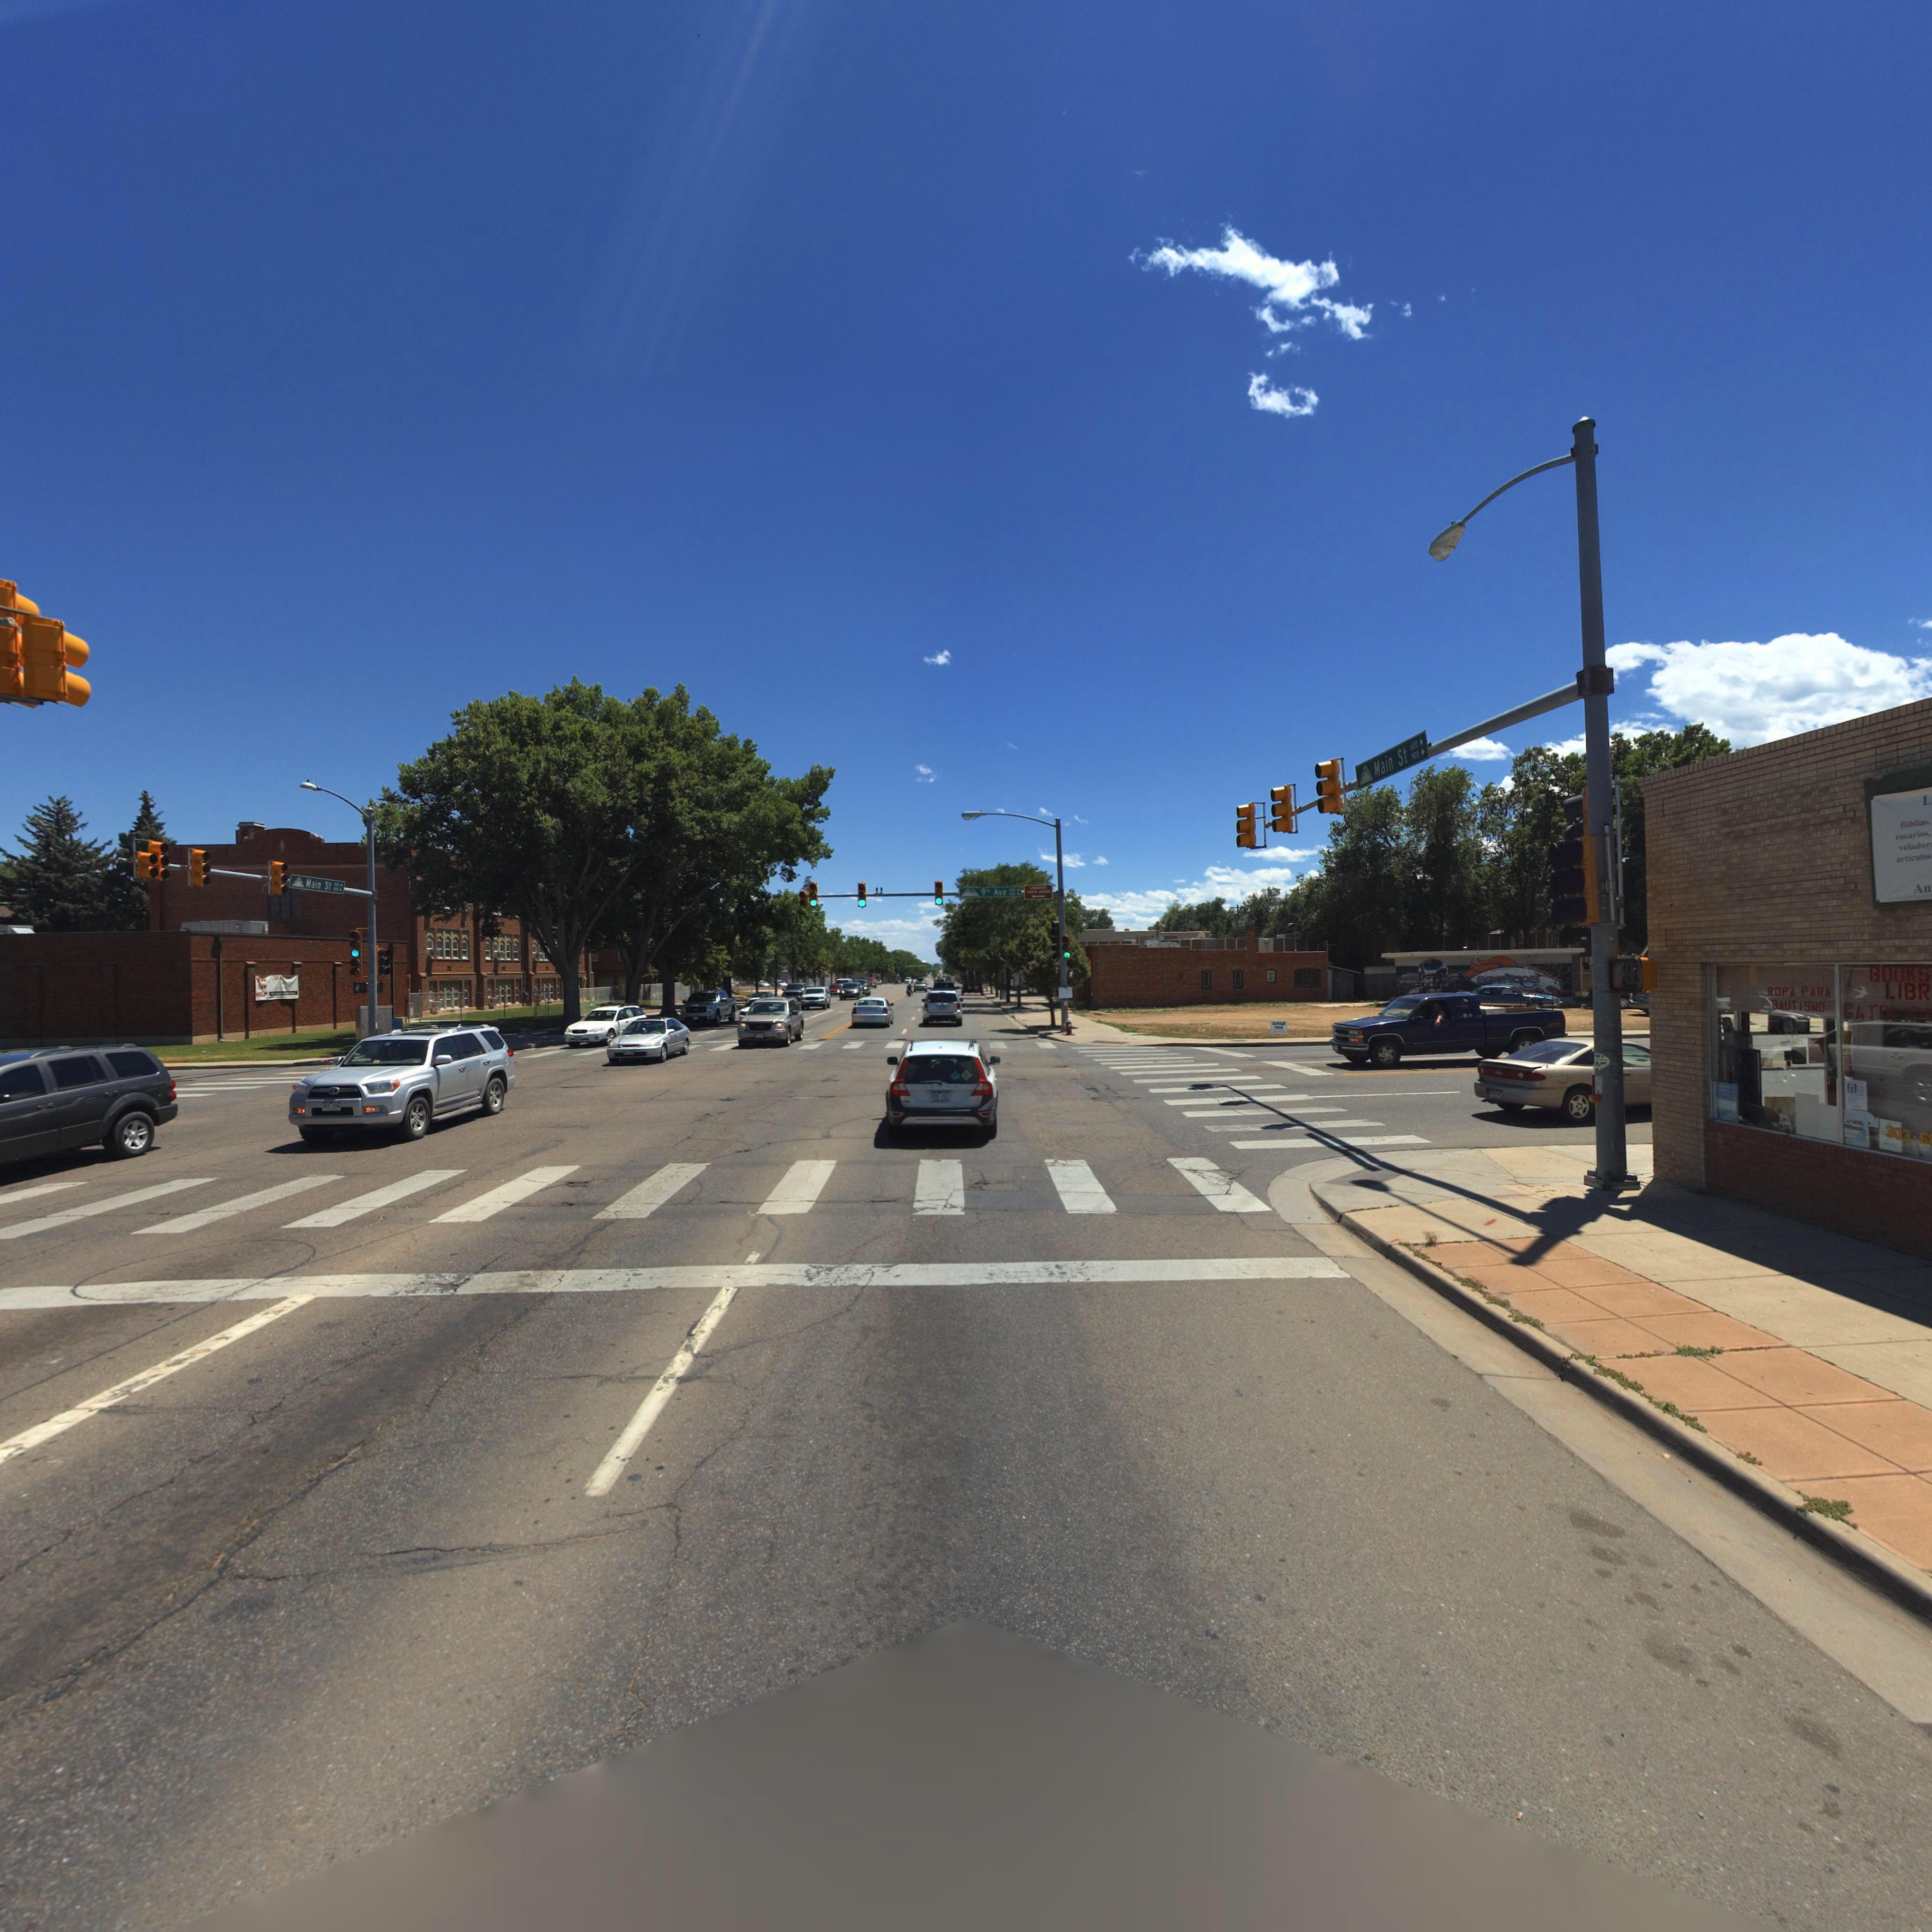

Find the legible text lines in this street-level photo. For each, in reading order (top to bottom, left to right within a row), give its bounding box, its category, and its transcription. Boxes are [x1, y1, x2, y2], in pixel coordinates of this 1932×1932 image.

[1410, 739, 1418, 751] StreetName: 600
[1410, 748, 1425, 761] StreetNumberRange: 900 ->
[1373, 745, 1409, 778] StreetName: Main St
[1922, 794, 1932, 806] BusinessName: L
[305, 878, 332, 890] StreetName: Main St
[334, 882, 339, 887] StreetNumberRange: 6**
[980, 888, 1006, 896] BusinessName: 9th Ave
[1009, 888, 1016, 891] StreetNumberRange: **0
[1009, 891, 1020, 895] BusinessName: **0 ->
[1913, 882, 1931, 894] BusinessName: An